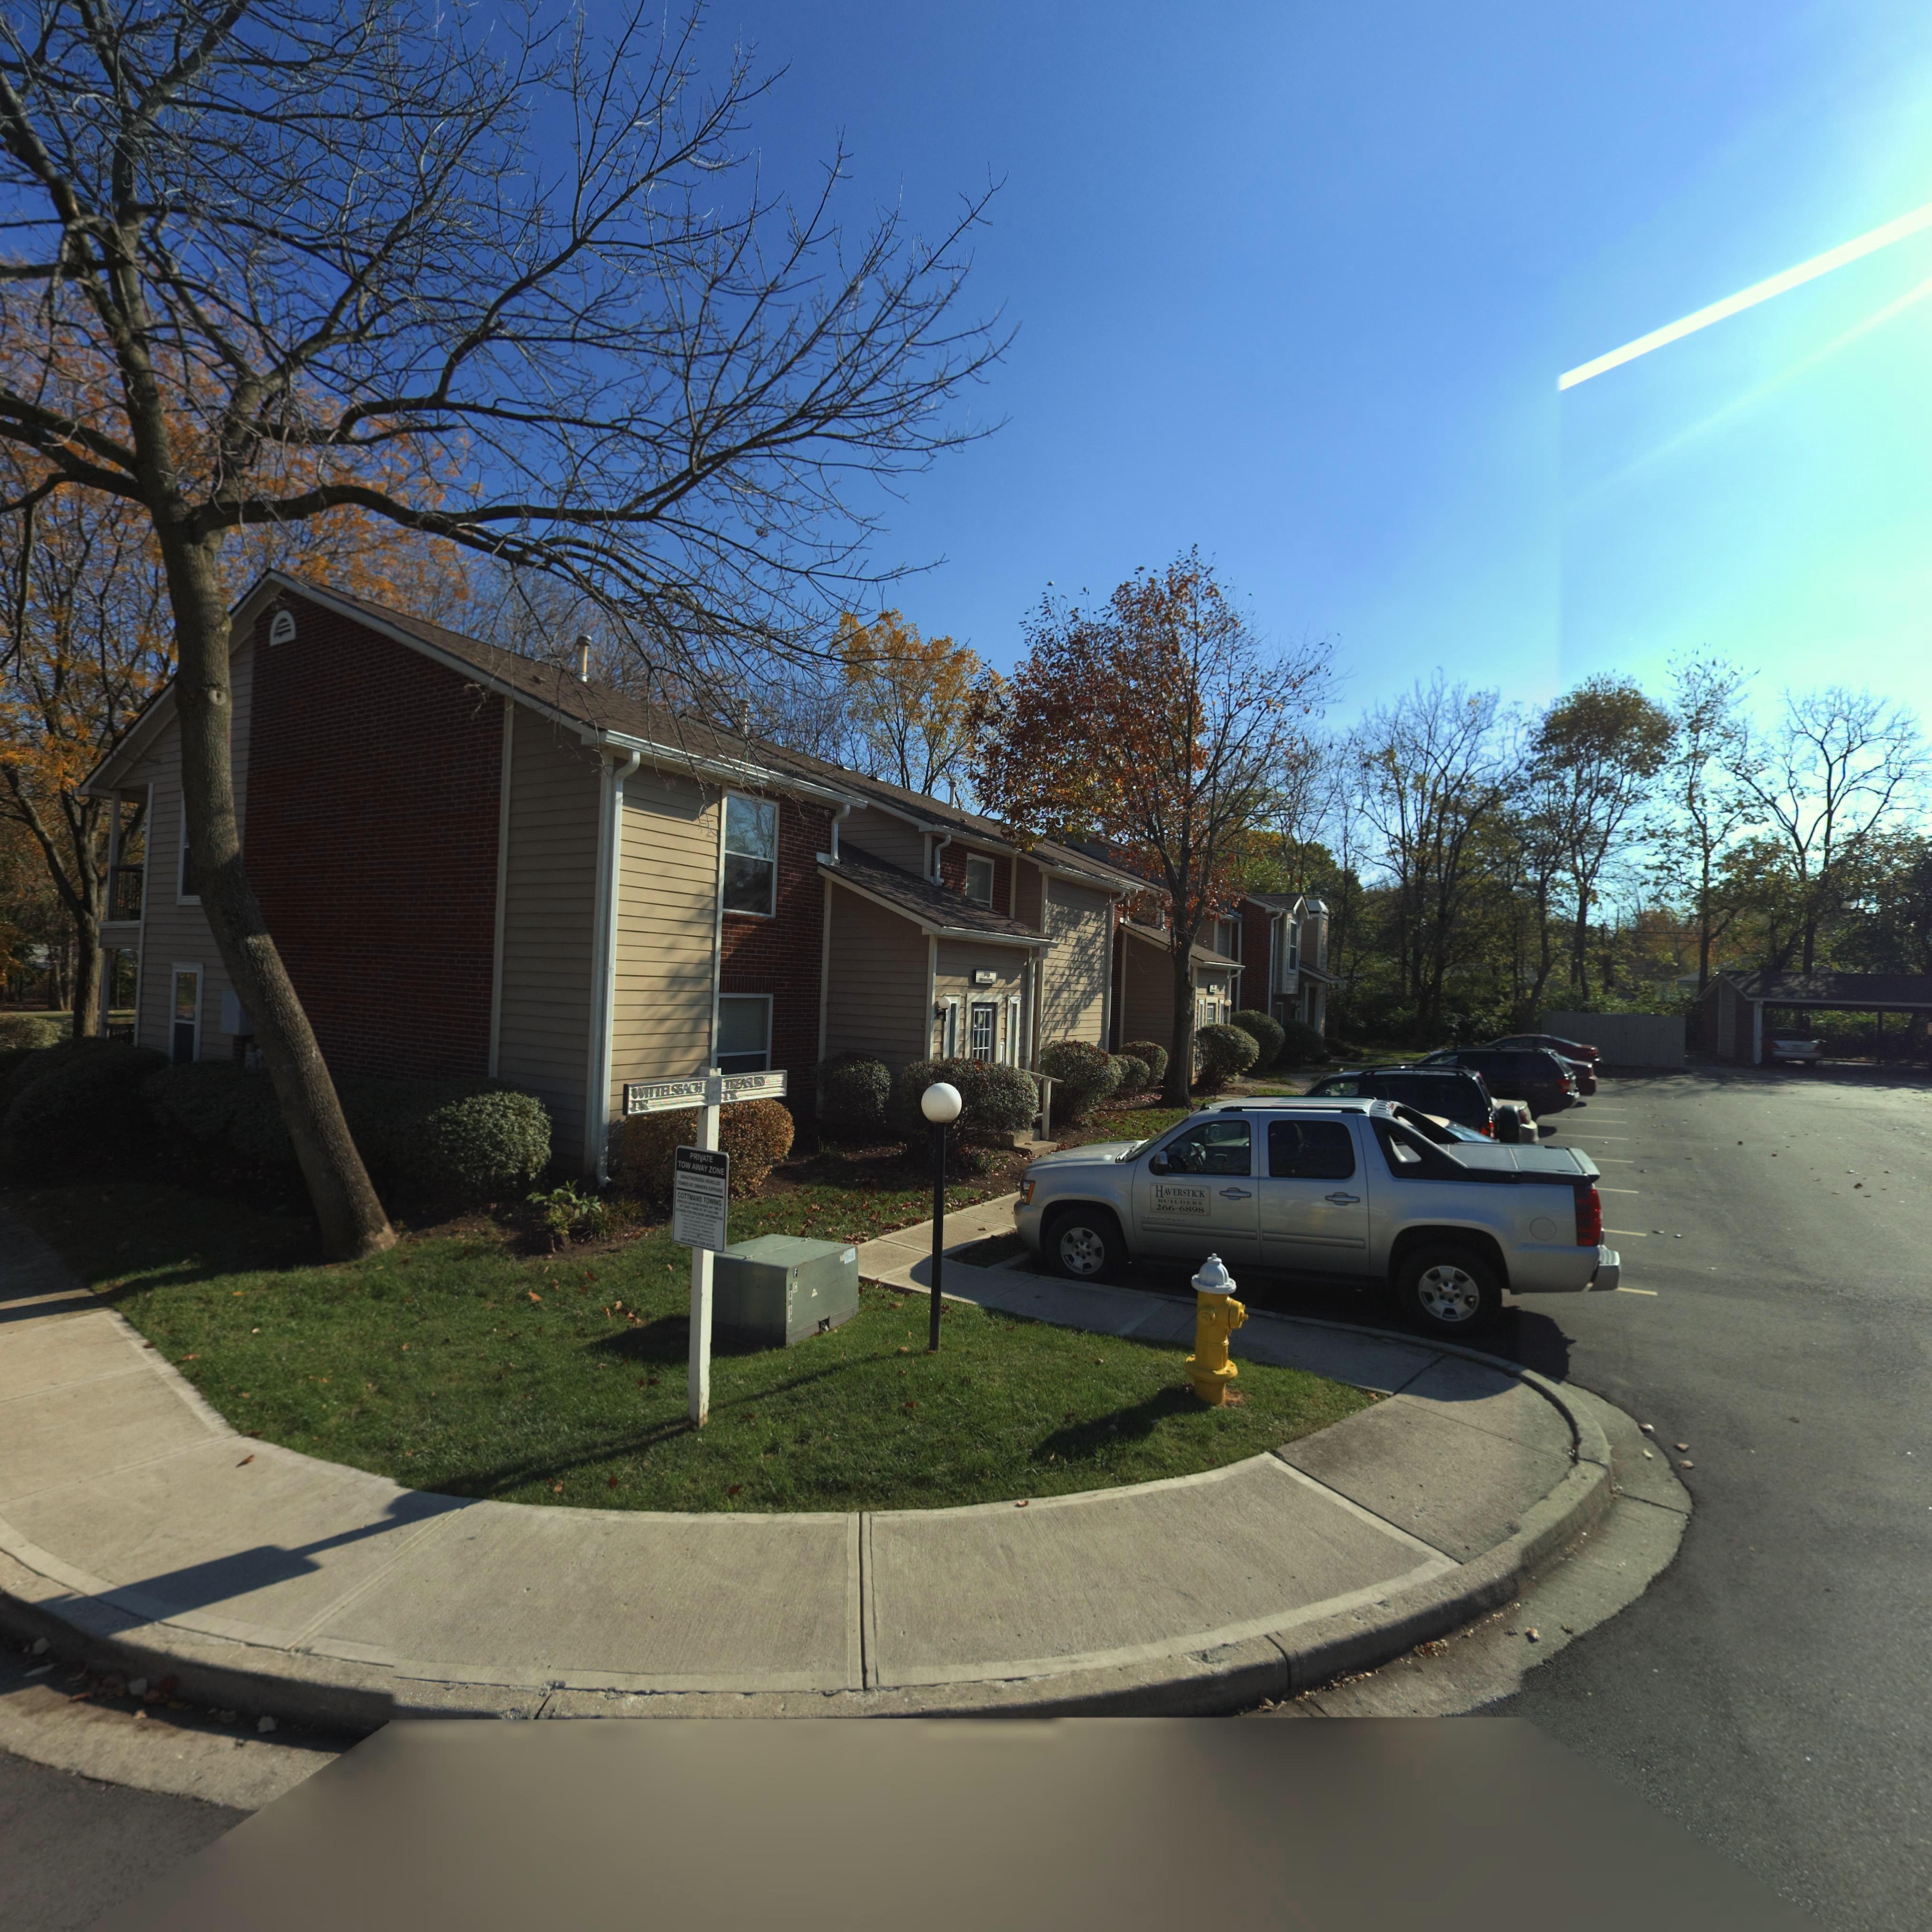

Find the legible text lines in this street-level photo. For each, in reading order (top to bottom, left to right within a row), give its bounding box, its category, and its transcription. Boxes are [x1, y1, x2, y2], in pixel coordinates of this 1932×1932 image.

[983, 971, 991, 978] StreetNumber: 79*
[723, 1075, 768, 1090] StreetName: TREASURY
[632, 1082, 703, 1099] StreetName: WITTELSBACH
[724, 1090, 738, 1101] StreetName: DR
[631, 1099, 650, 1111] StreetName: DR
[689, 1151, 714, 1164] None: PRIVATE
[677, 1160, 725, 1176] None: TOW AWAY ZONE
[680, 1174, 721, 1186] None: UNAUTHORIZED VEHICLES
[677, 1179, 723, 1194] None: TOWED AT OWNERS EXPENSE
[1154, 1184, 1205, 1198] None: HAVERSTICK
[677, 1191, 723, 1207] None: COTTMANS TOWING
[1158, 1198, 1202, 1206] None: BUILDERS
[1156, 1203, 1205, 1214] None: 266-6898
[793, 1267, 798, 1278] None: F
[793, 1281, 797, 1292] None: C
[788, 1283, 792, 1323] None: 2***4